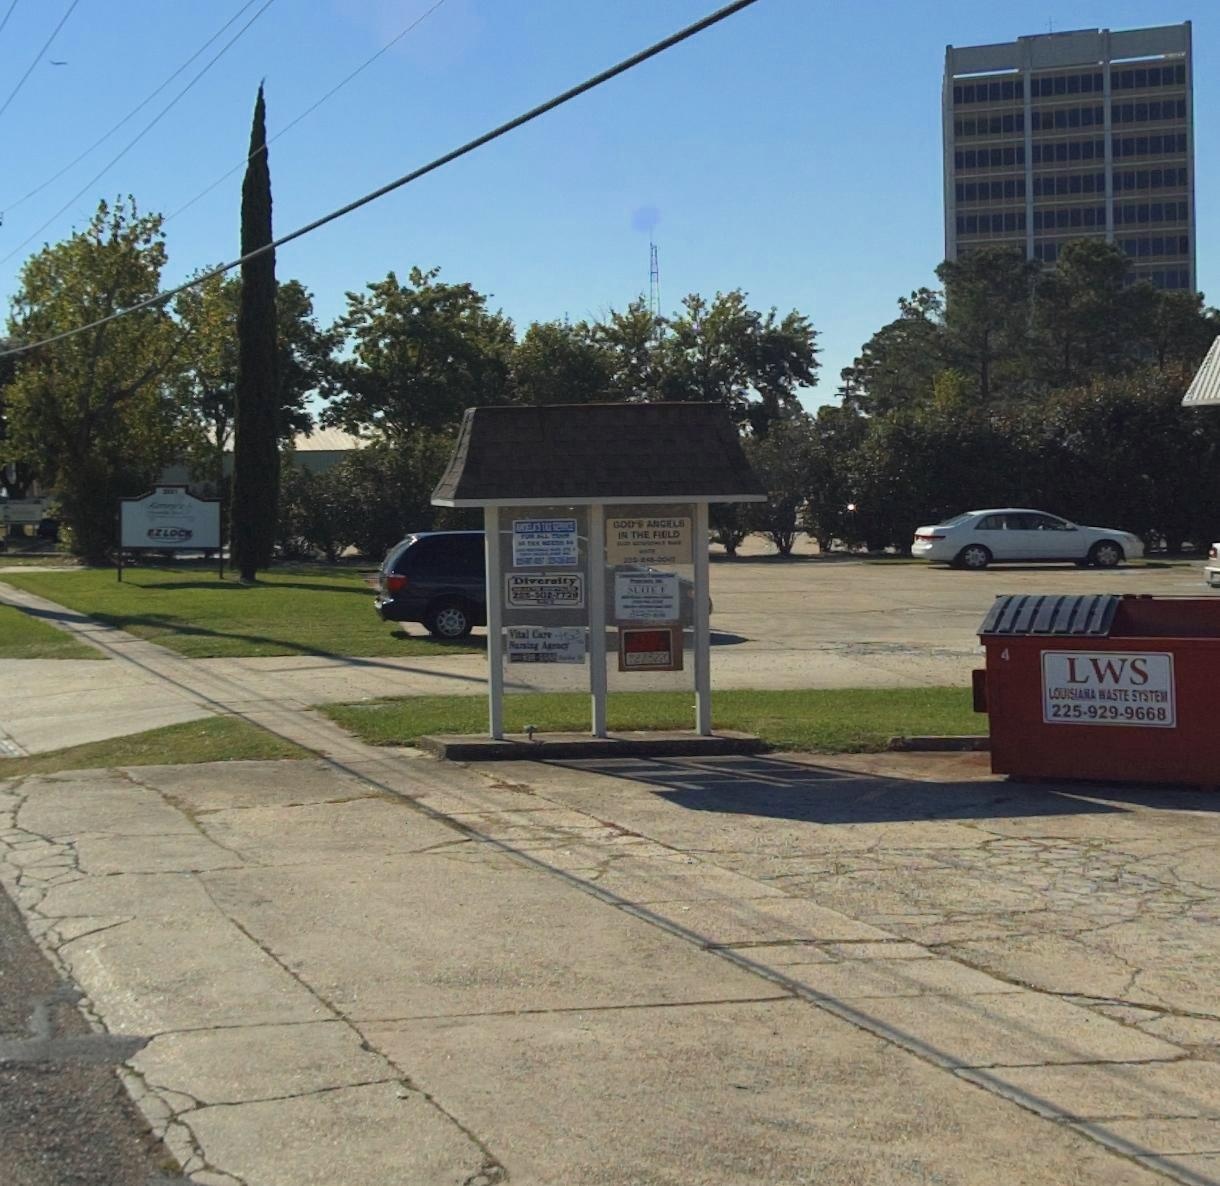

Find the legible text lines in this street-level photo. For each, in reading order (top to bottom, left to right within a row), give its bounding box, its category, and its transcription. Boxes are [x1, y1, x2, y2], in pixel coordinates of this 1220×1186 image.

[611, 518, 687, 530] BusinessName: GODS ANGELS
[144, 526, 196, 540] BusinessName: EZ LOCK
[616, 527, 683, 542] BusinessName: IN THE ***LD
[510, 574, 581, 588] BusinessName: Diversity
[505, 625, 553, 641] BusinessName: Vital Care
[998, 644, 1013, 664] None: 4
[1064, 654, 1152, 688] None: LWS
[1046, 684, 1170, 706] None: LOUISIANA *ASTE SYSTEM
[1049, 701, 1169, 723] None: 225-929-9668